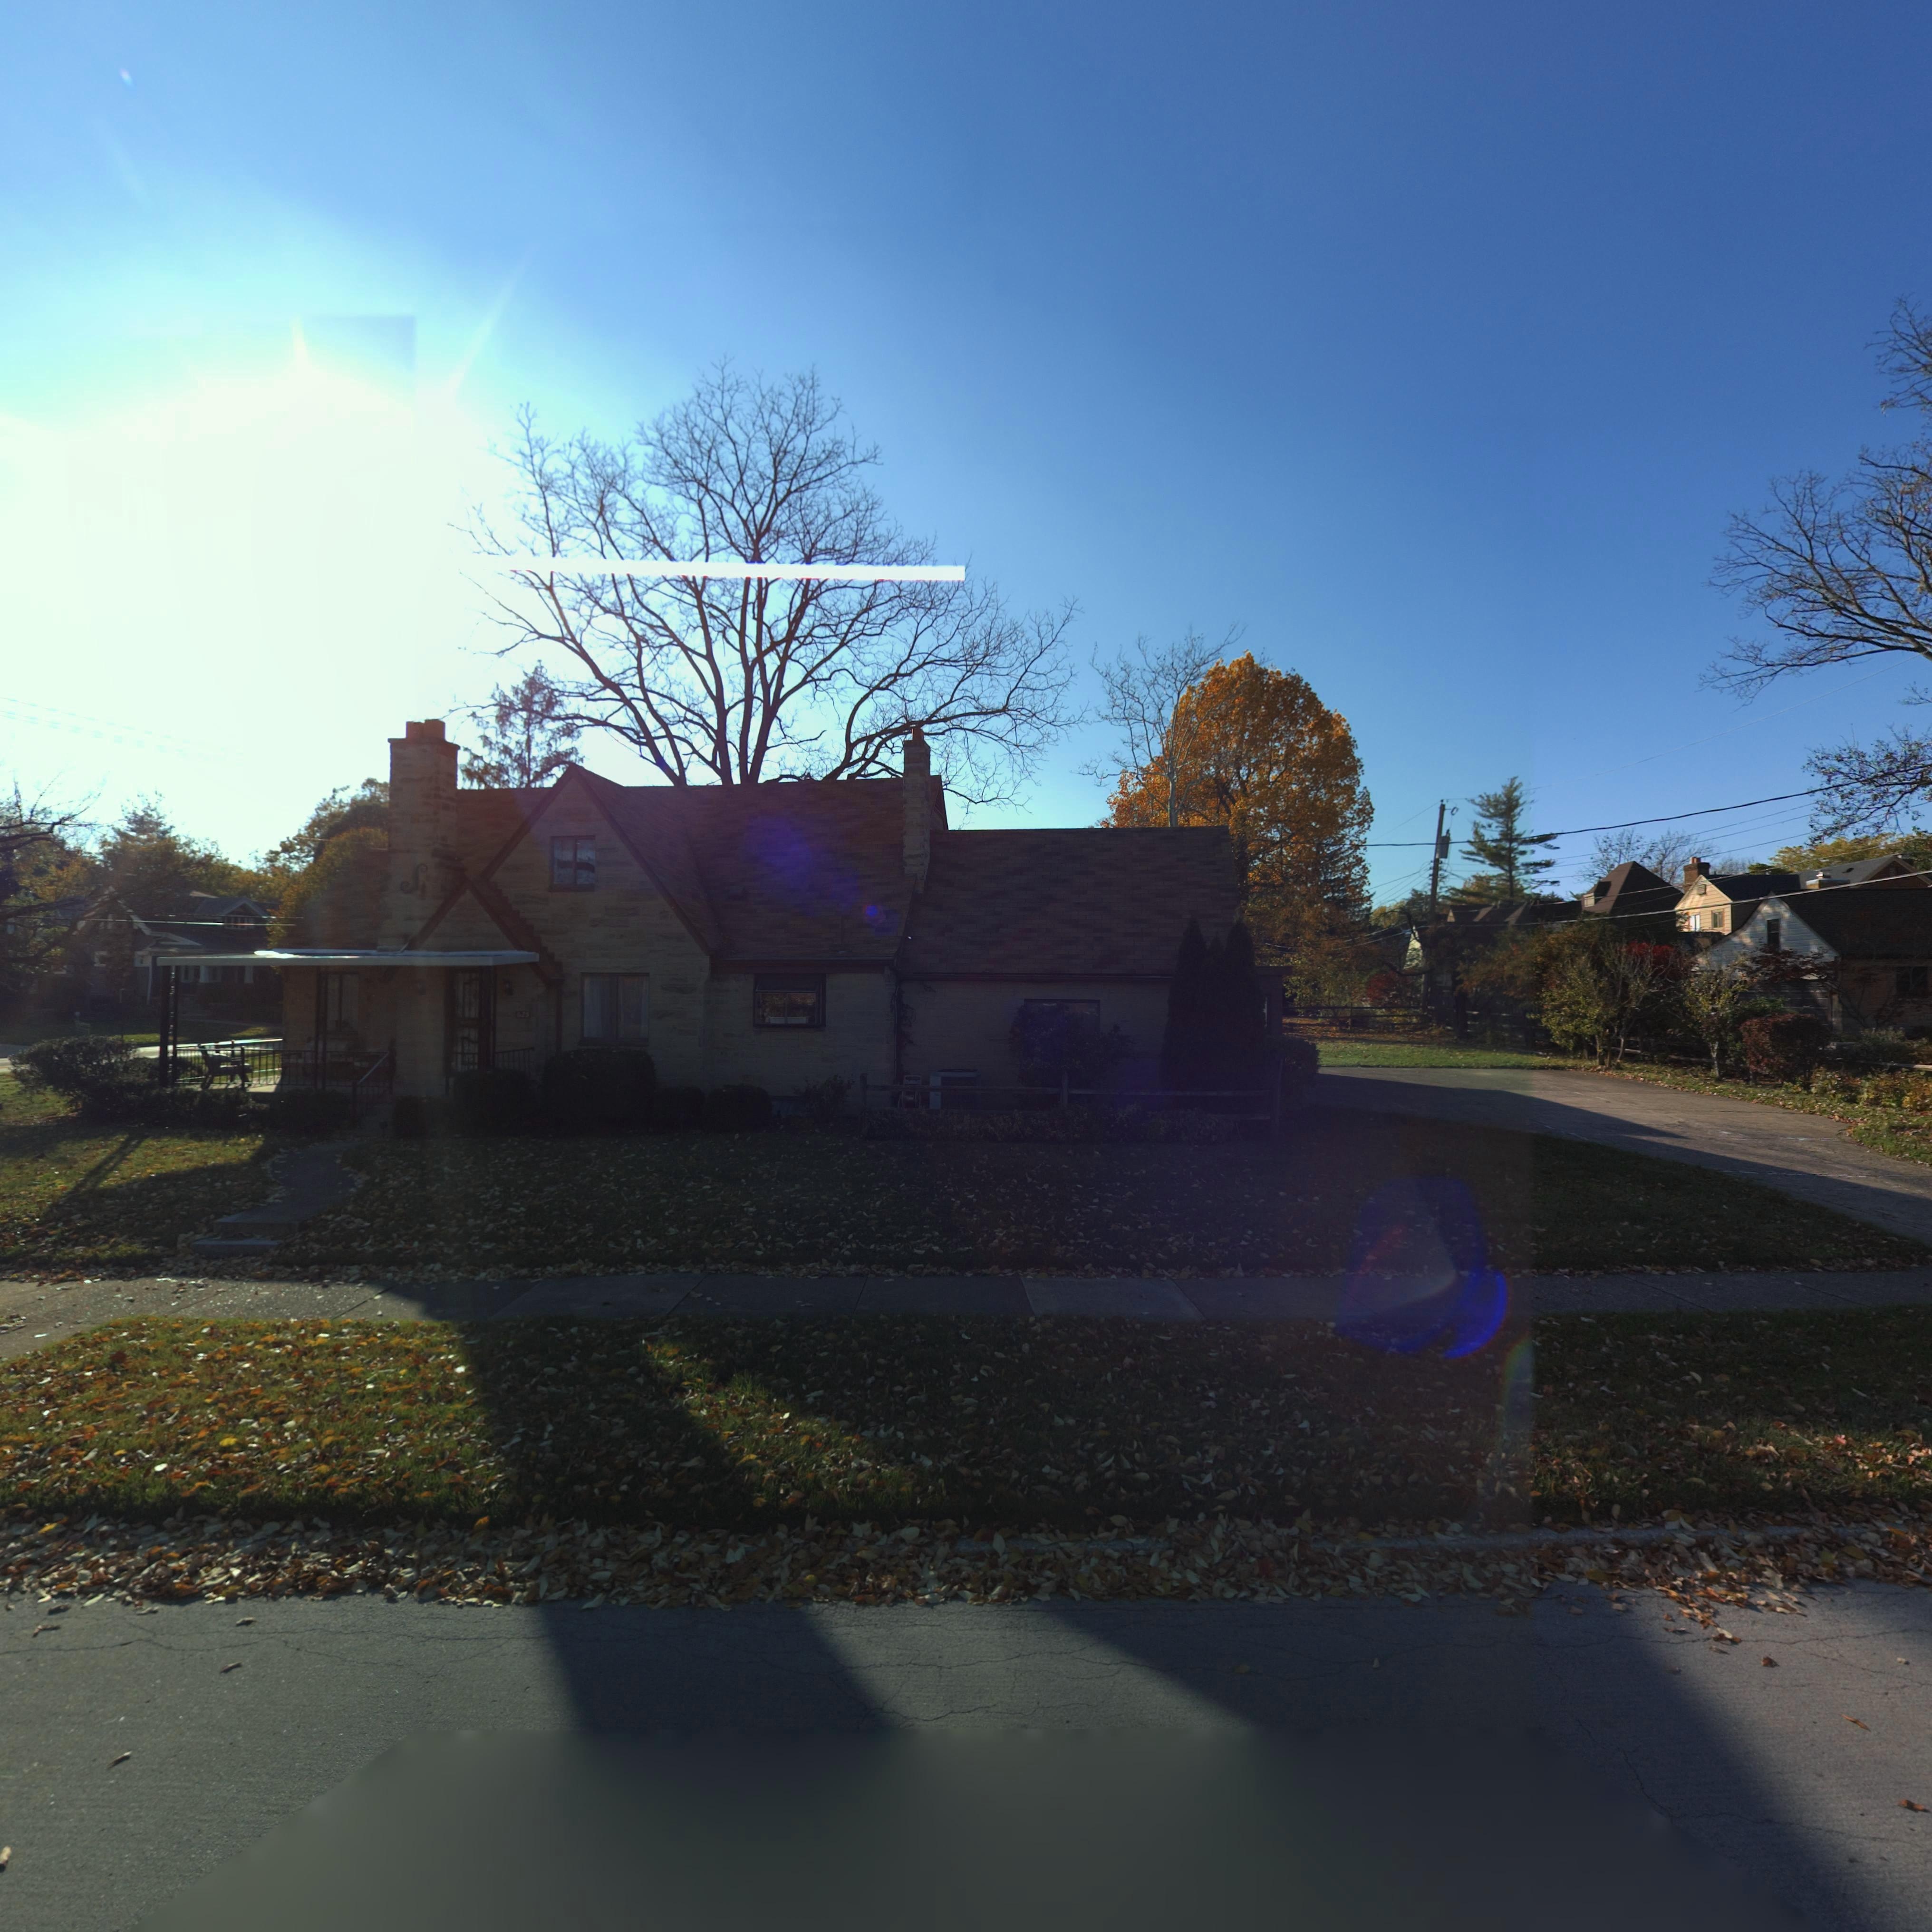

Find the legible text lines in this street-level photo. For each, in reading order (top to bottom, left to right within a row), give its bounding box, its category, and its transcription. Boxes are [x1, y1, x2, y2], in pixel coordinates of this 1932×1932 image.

[516, 1011, 530, 1018] StreetNumber: 625